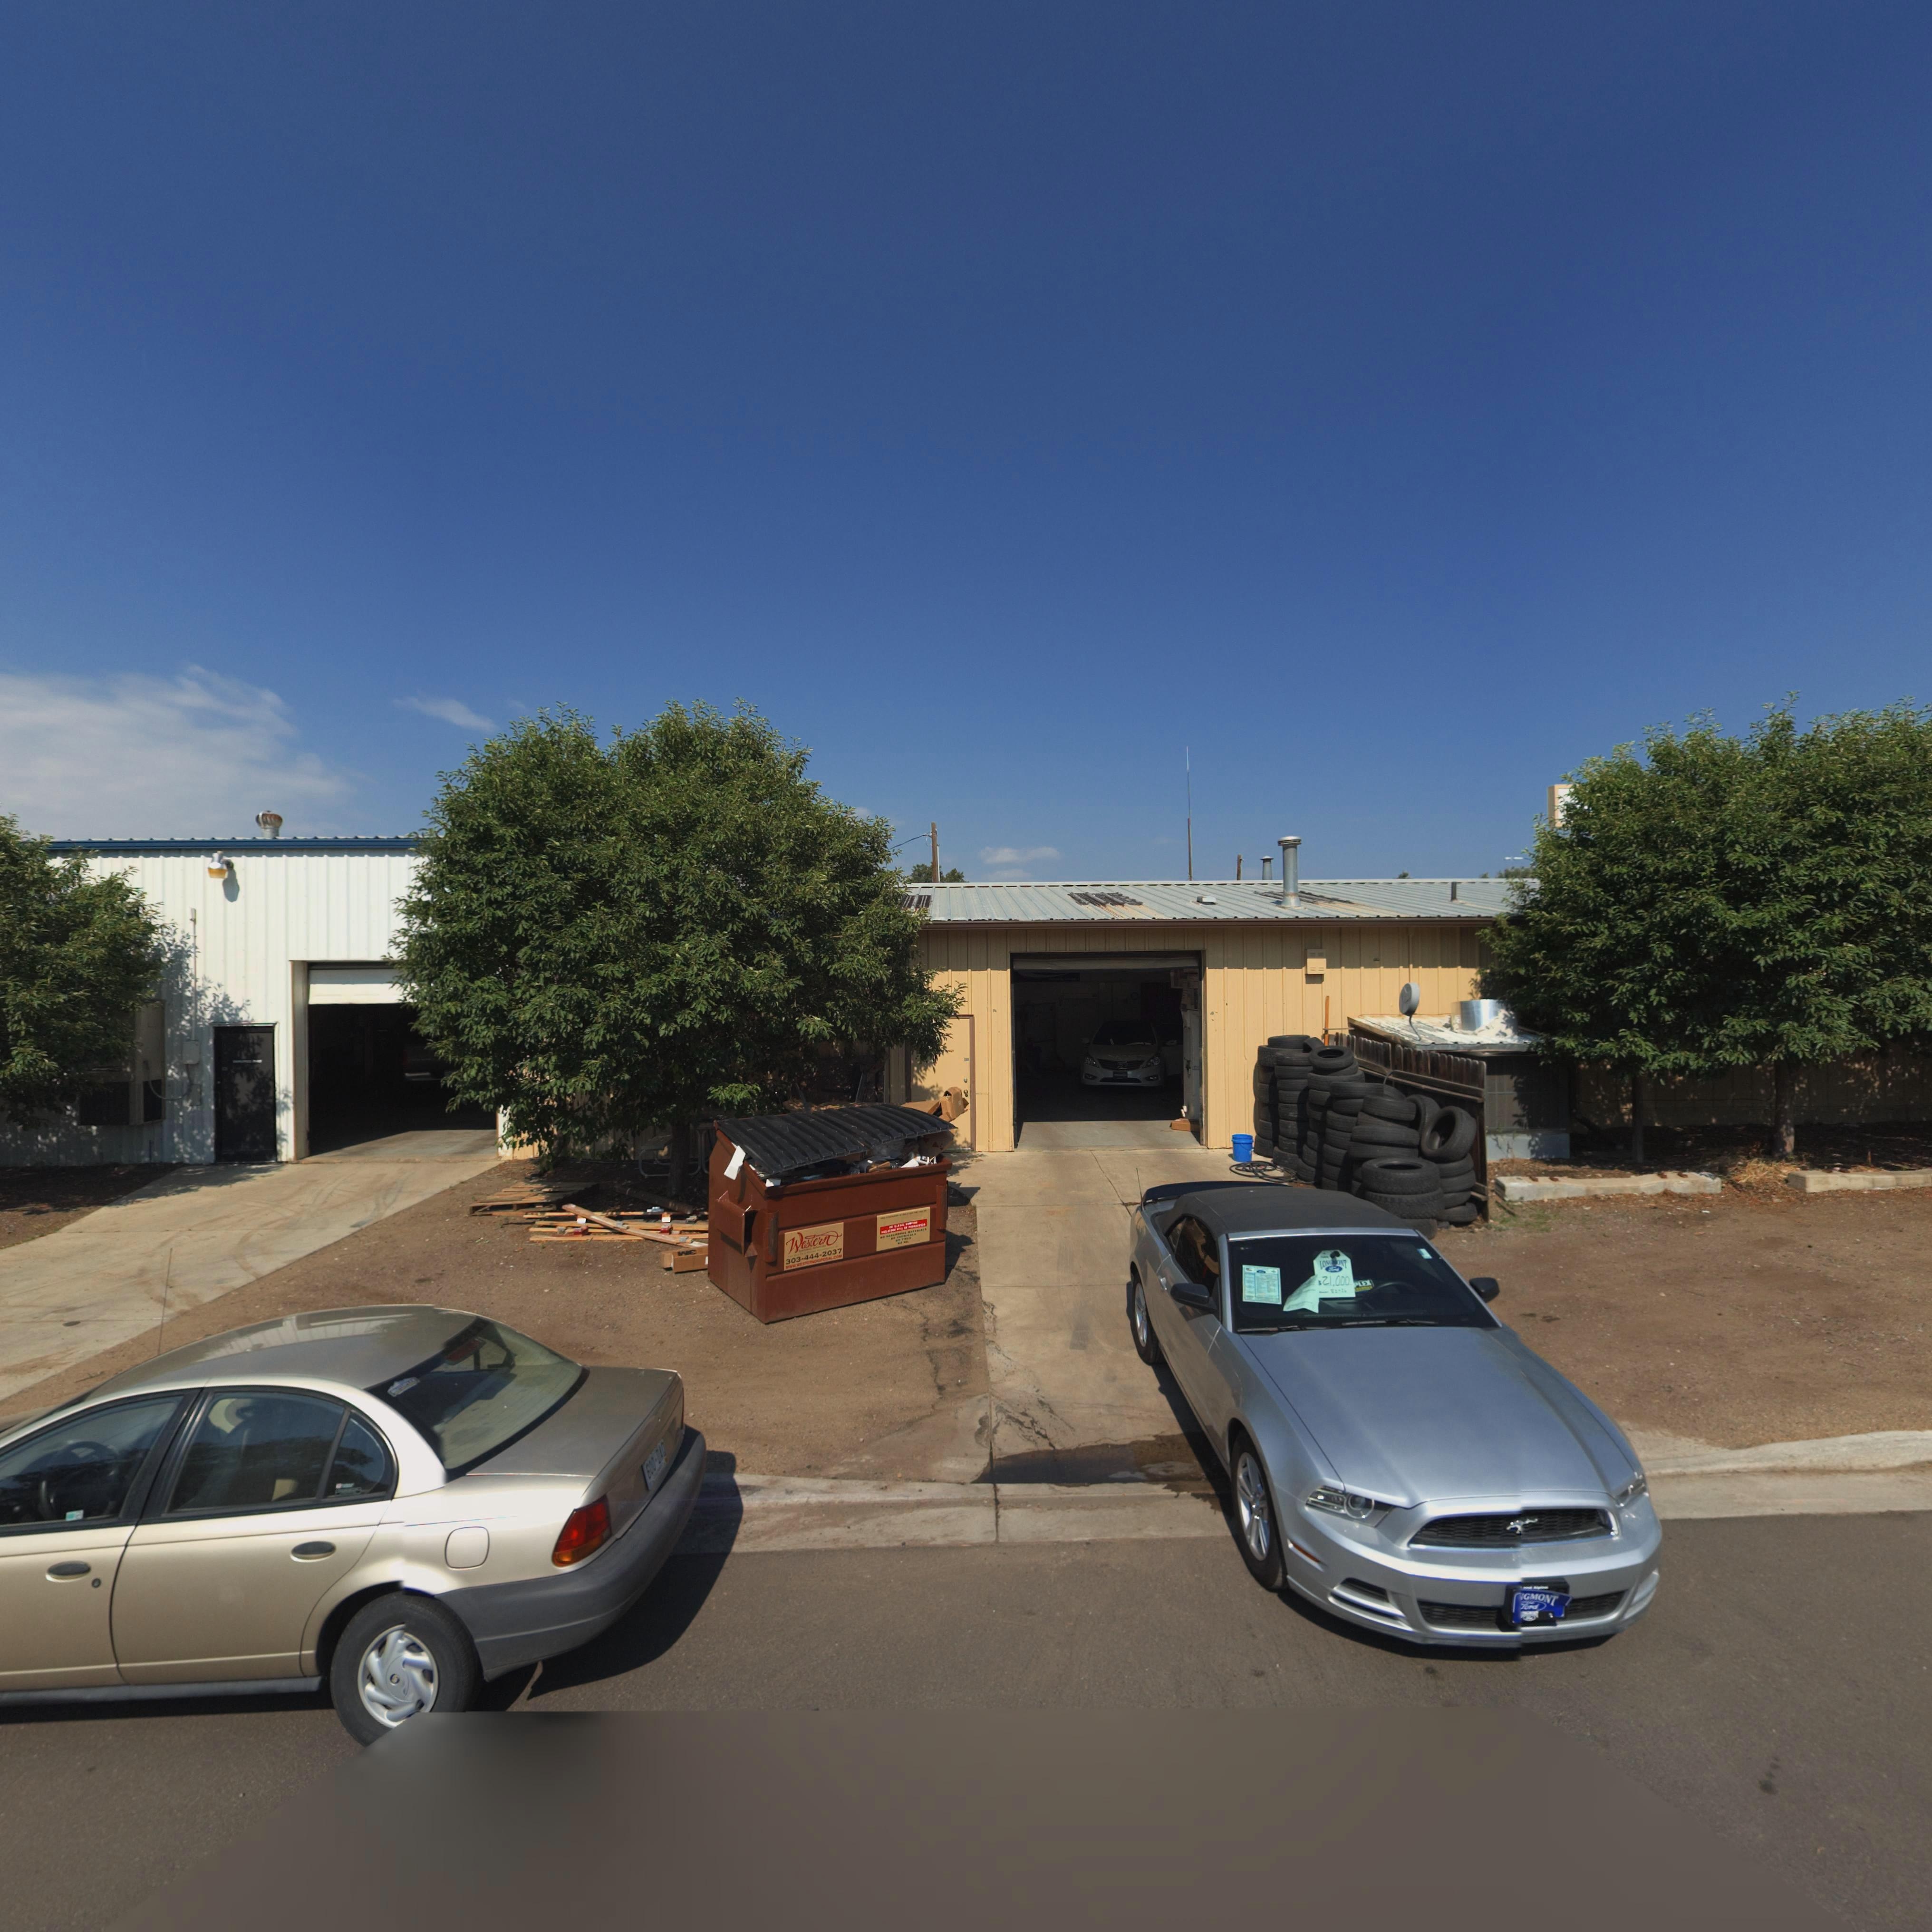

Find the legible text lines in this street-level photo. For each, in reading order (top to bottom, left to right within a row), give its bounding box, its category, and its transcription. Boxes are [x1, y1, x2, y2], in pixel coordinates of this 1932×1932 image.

[1357, 1279, 1372, 1287] BusinessName: LEX